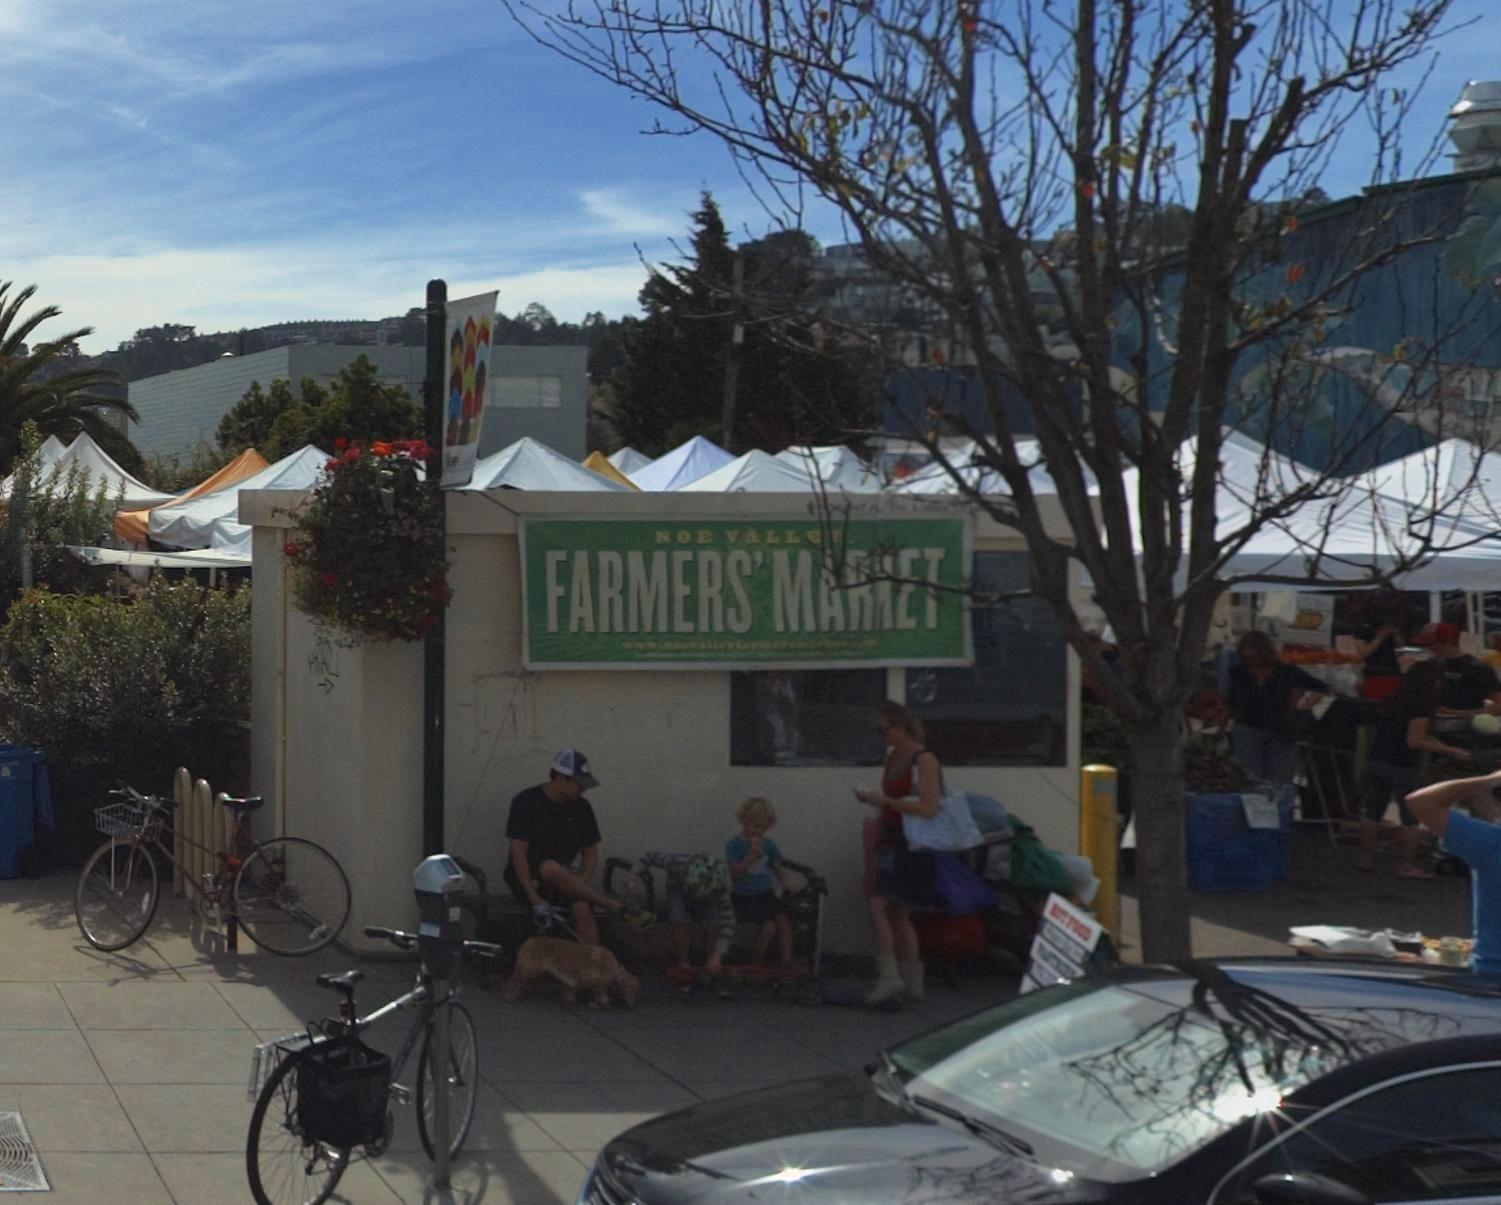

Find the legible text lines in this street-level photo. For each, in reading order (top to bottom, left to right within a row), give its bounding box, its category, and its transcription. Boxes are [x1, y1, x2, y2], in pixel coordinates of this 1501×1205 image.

[449, 454, 460, 466] None: e
[654, 529, 844, 545] BusinessName: NOE VALLEY
[544, 545, 947, 633] BusinessName: FARMERS' MARKET
[619, 639, 774, 650] None: www.noevalleyfarm
[1049, 898, 1093, 945] None: HOT FOOD